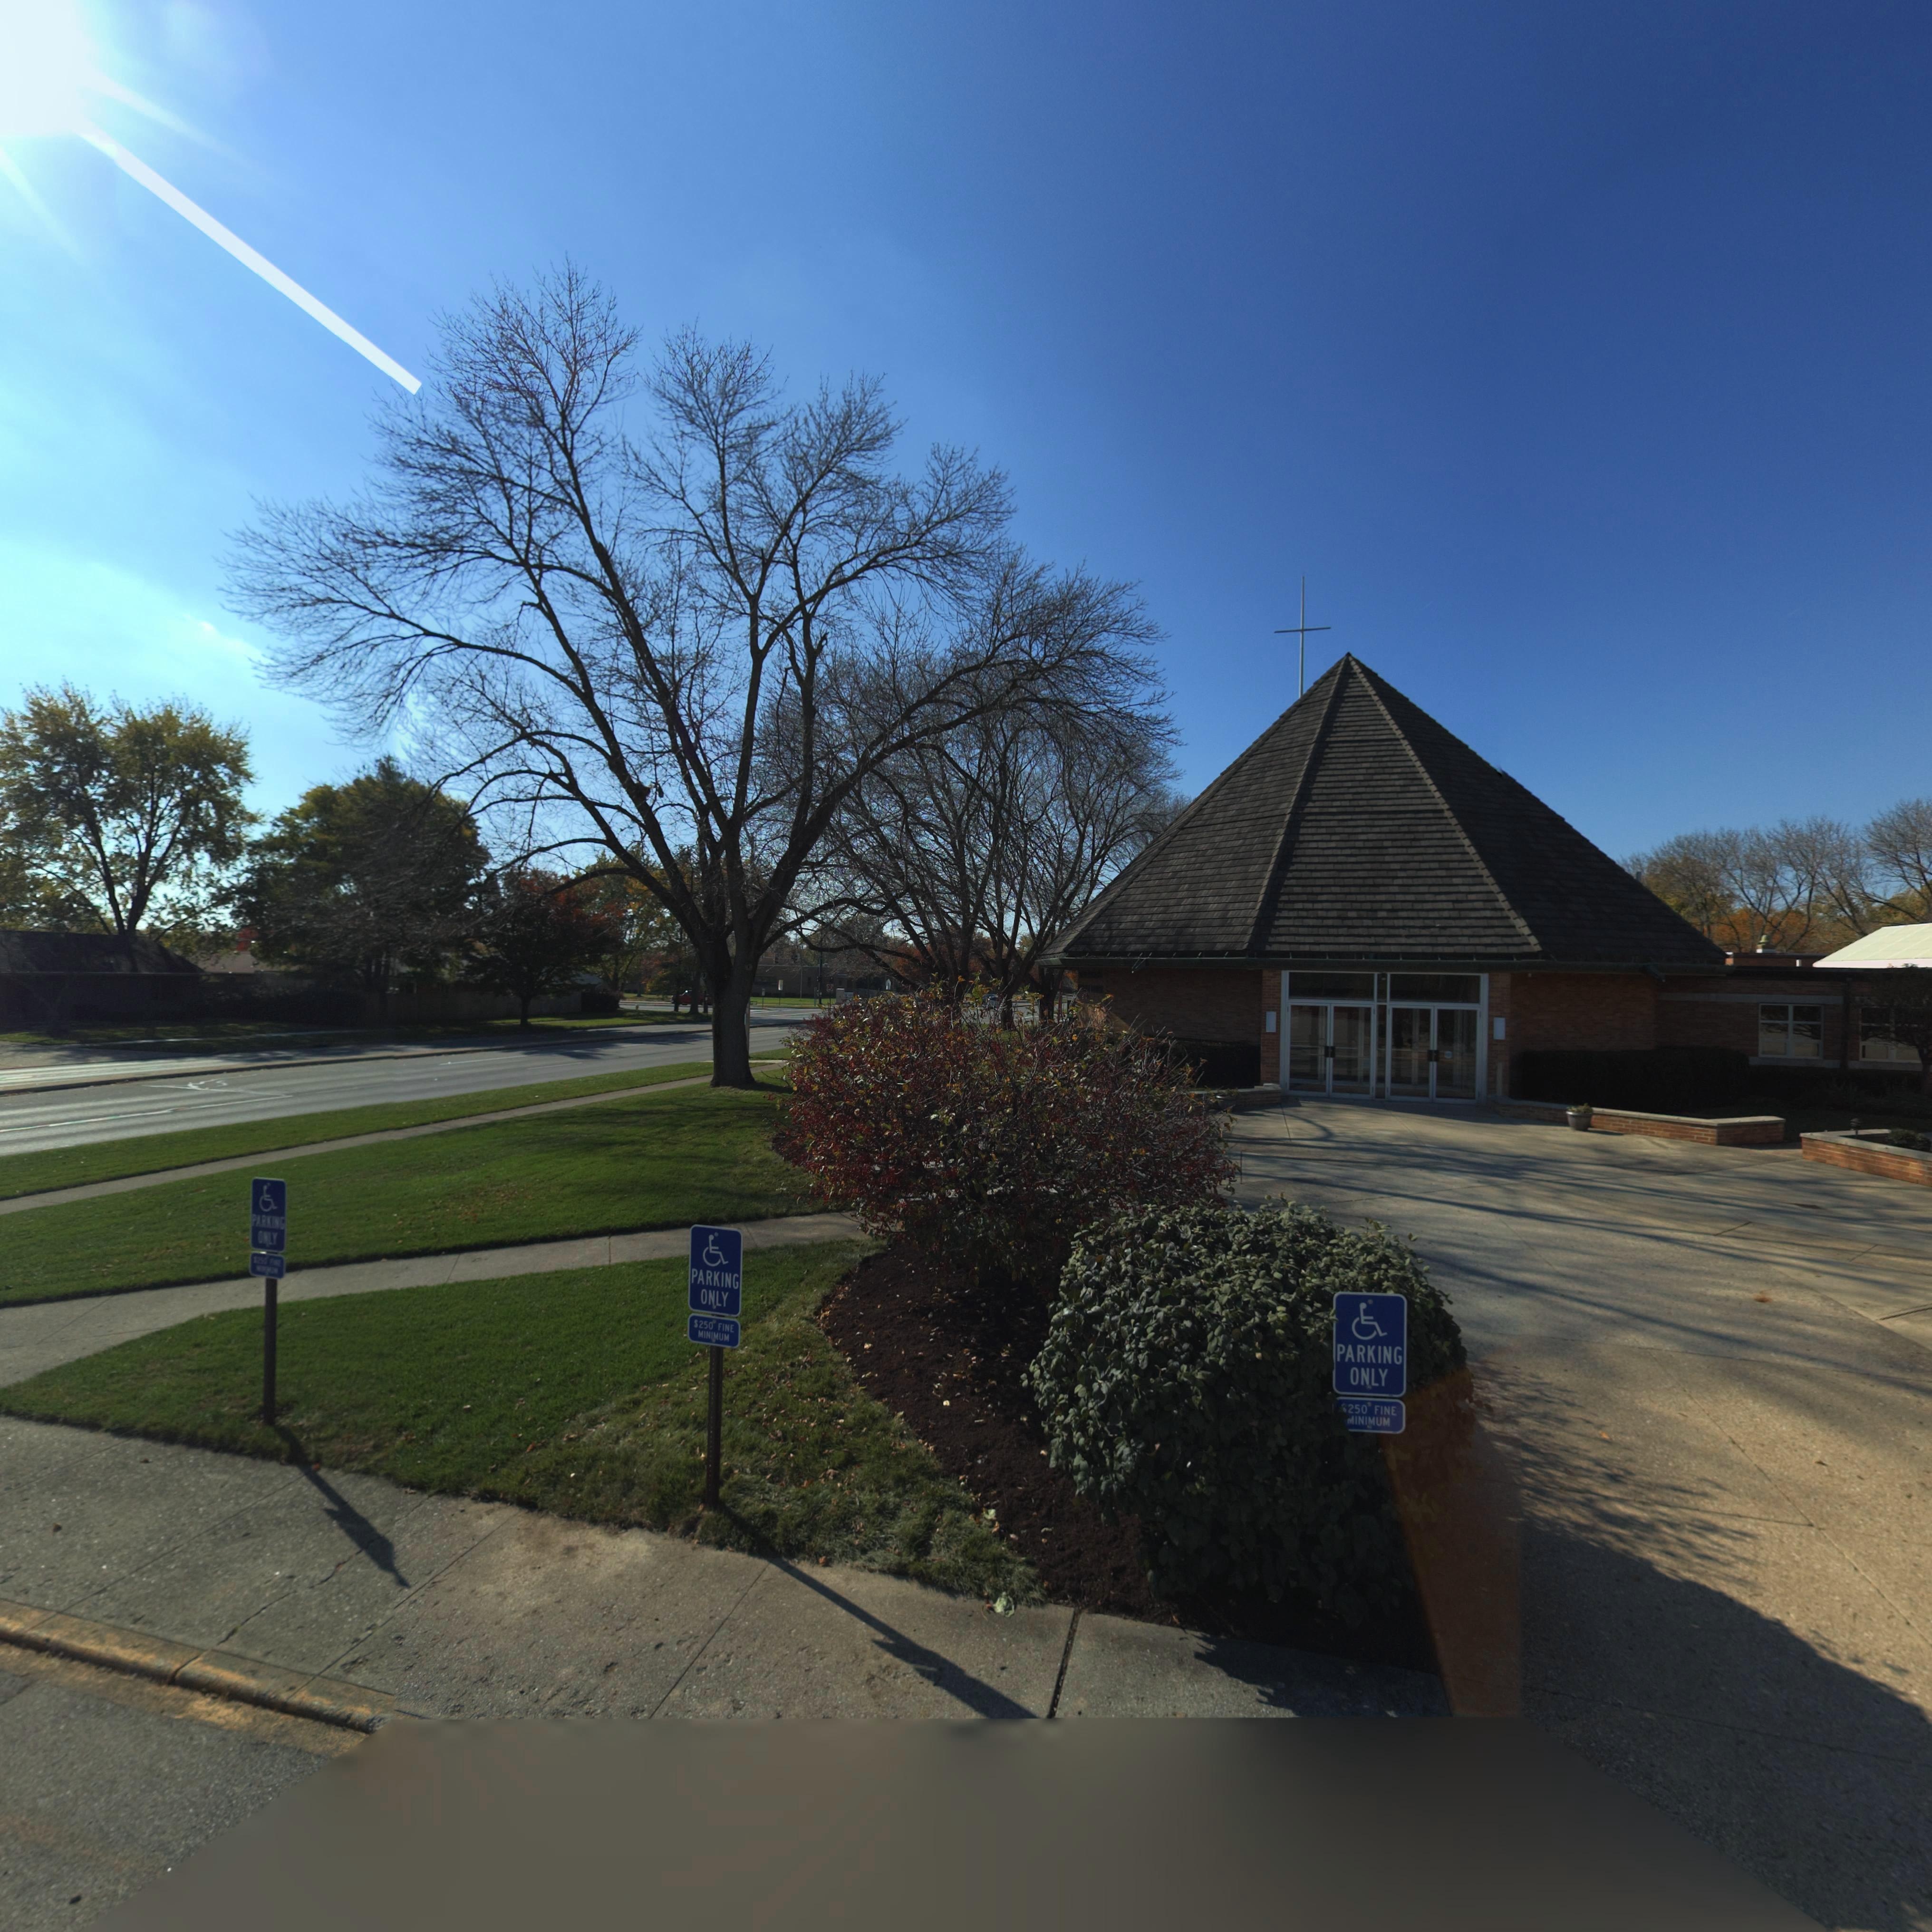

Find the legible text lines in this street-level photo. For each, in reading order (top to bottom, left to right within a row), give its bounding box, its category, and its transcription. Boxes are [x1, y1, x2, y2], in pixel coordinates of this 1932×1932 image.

[251, 1213, 286, 1230] None: PARKING
[258, 1230, 279, 1246] None: ONLY
[256, 1256, 282, 1267] None: 250 FINE
[691, 1267, 739, 1290] None: PARKING
[700, 1288, 729, 1307] None: ONLY
[698, 1320, 734, 1333] None: 250 FINE
[697, 1329, 730, 1342] None: MINIMUM
[1336, 1343, 1402, 1365] None: PARKING
[1349, 1366, 1389, 1387] None: ONLY
[1348, 1403, 1397, 1416] None: 250 FINE
[1354, 1415, 1391, 1427] None: INIMUM